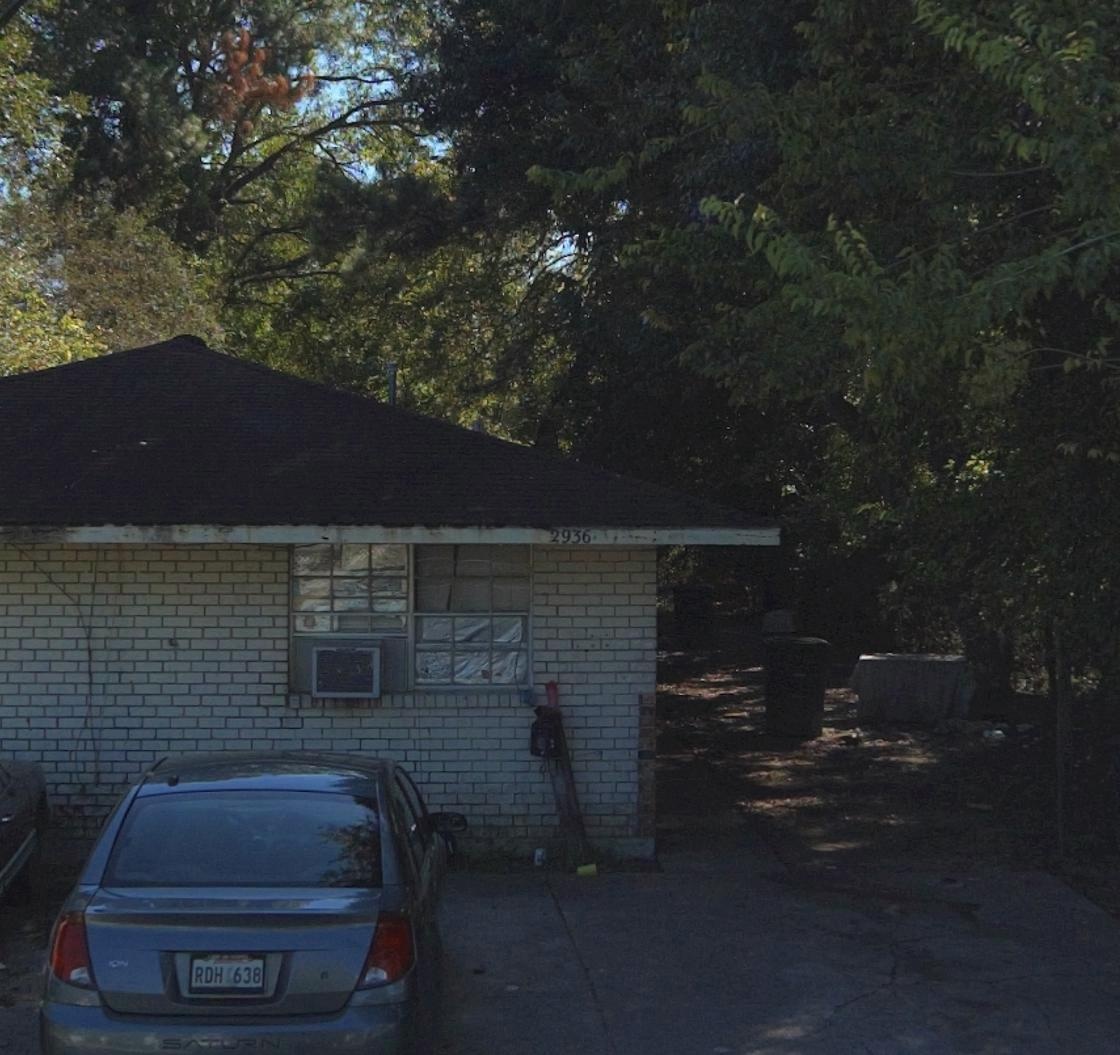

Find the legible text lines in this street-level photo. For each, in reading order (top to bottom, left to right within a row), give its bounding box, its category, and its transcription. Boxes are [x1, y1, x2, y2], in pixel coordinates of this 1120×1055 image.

[549, 528, 593, 545] StreetNumber: 2936
[193, 964, 262, 985] None: RDH 638
[159, 1036, 281, 1051] None: SATURN